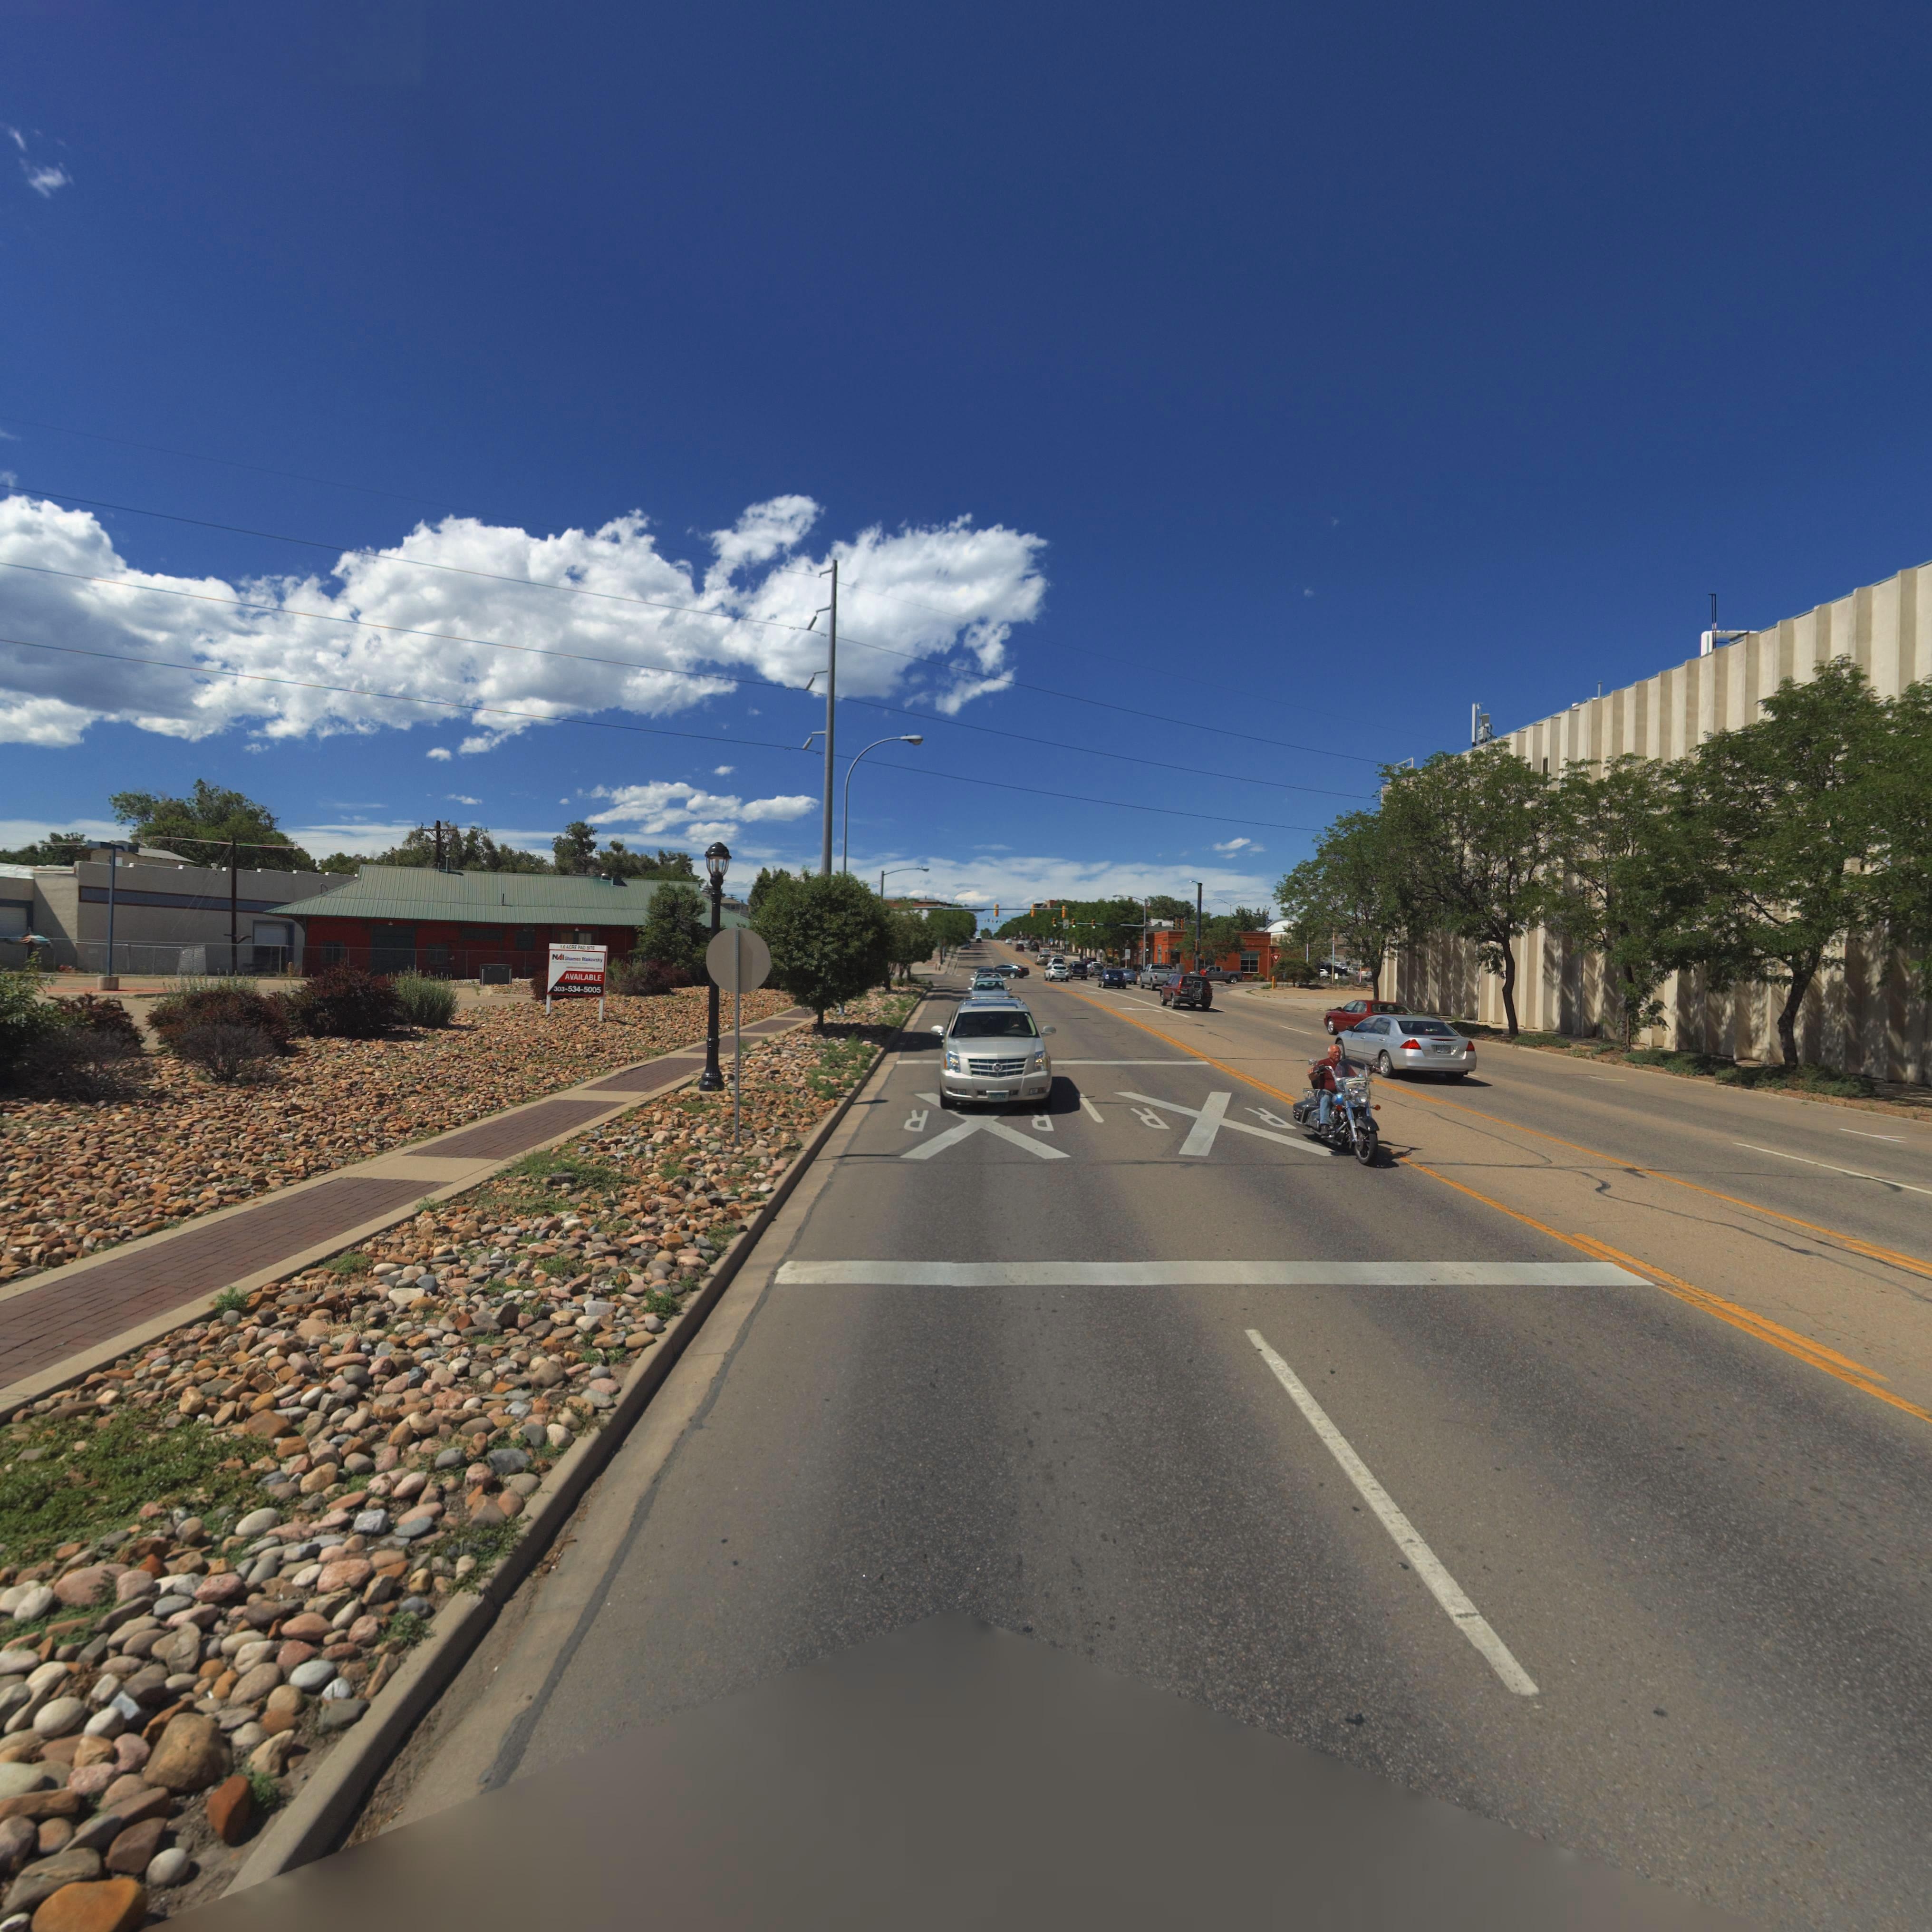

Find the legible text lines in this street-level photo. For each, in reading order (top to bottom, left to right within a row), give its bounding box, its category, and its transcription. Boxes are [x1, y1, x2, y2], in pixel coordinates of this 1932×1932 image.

[554, 986, 600, 992] PhoneNumber: 303 534-5005